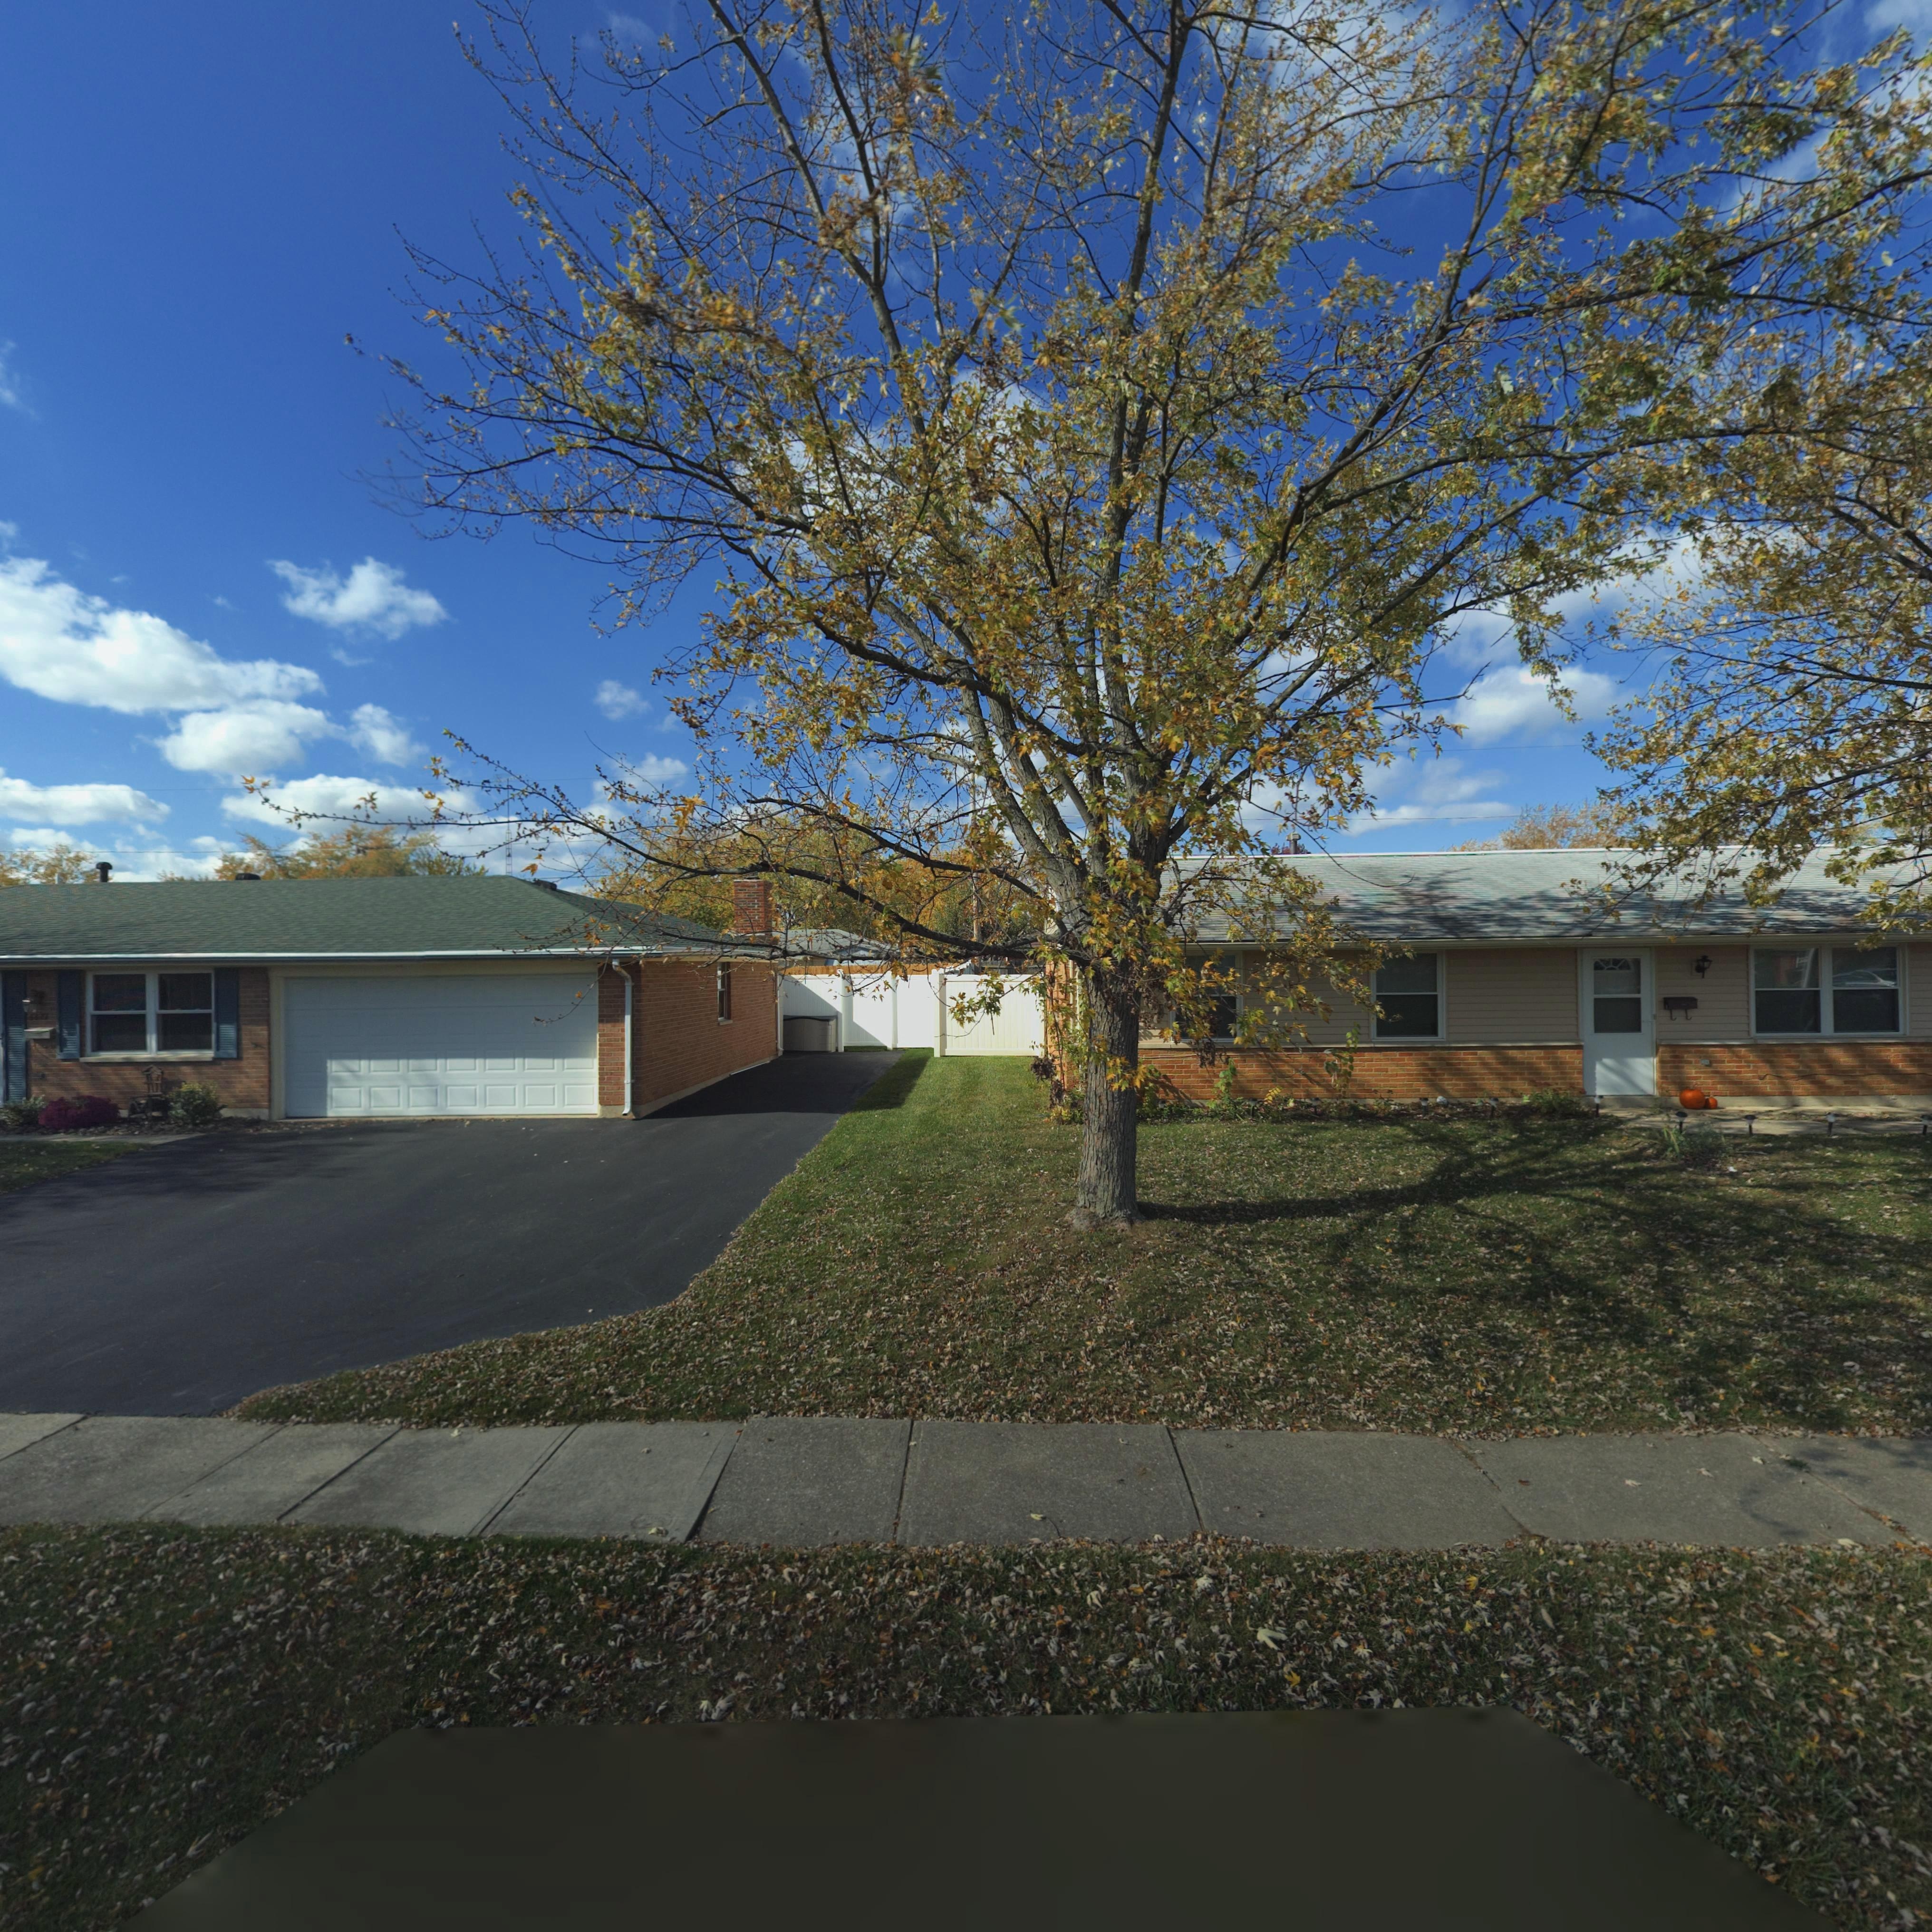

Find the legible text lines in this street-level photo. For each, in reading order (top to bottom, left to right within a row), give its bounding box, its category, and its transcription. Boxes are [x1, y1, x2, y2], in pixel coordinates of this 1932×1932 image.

[27, 1012, 50, 1021] StreetNumber: 6677